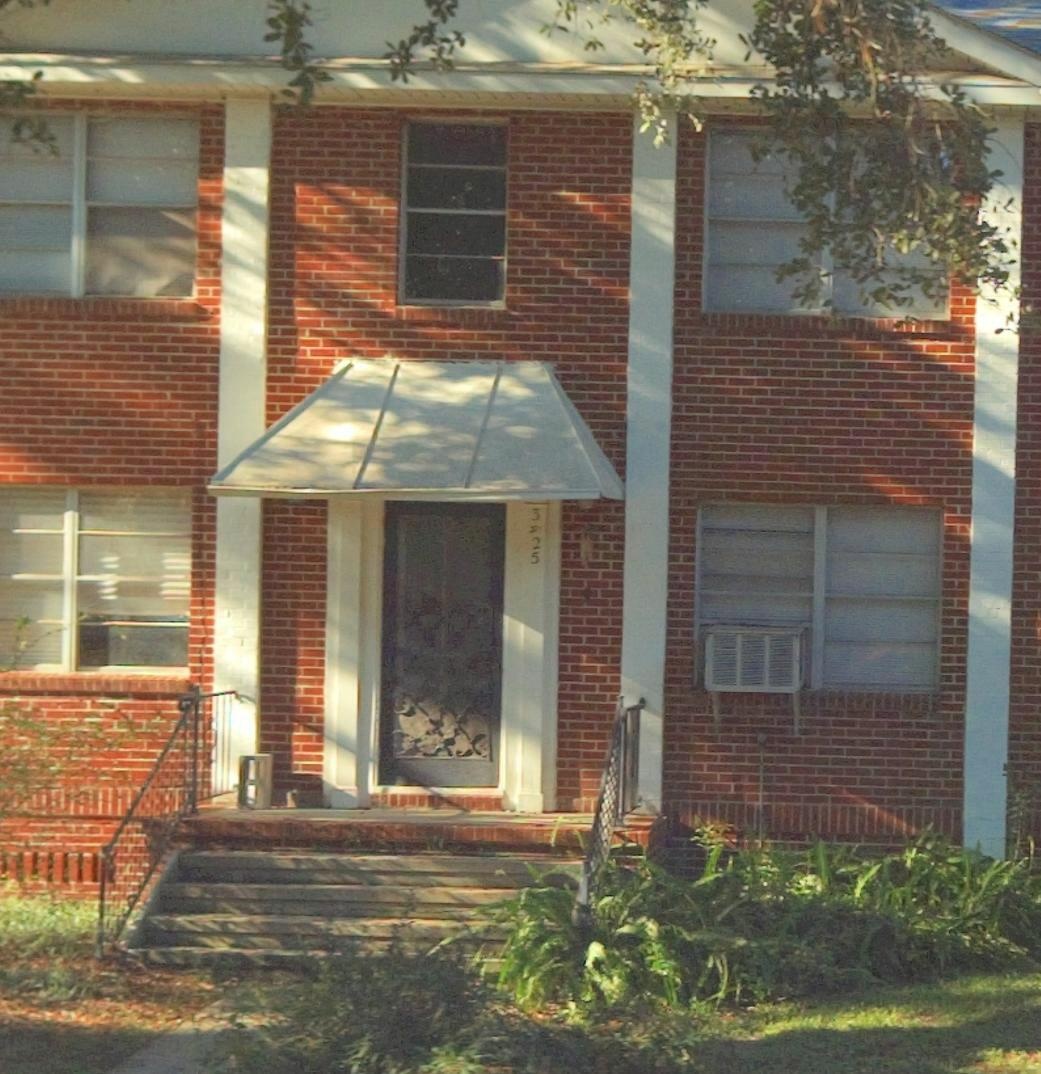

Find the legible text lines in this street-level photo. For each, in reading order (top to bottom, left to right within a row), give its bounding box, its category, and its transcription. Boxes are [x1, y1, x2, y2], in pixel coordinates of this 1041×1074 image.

[527, 504, 543, 567] StreetNumber: 3*25